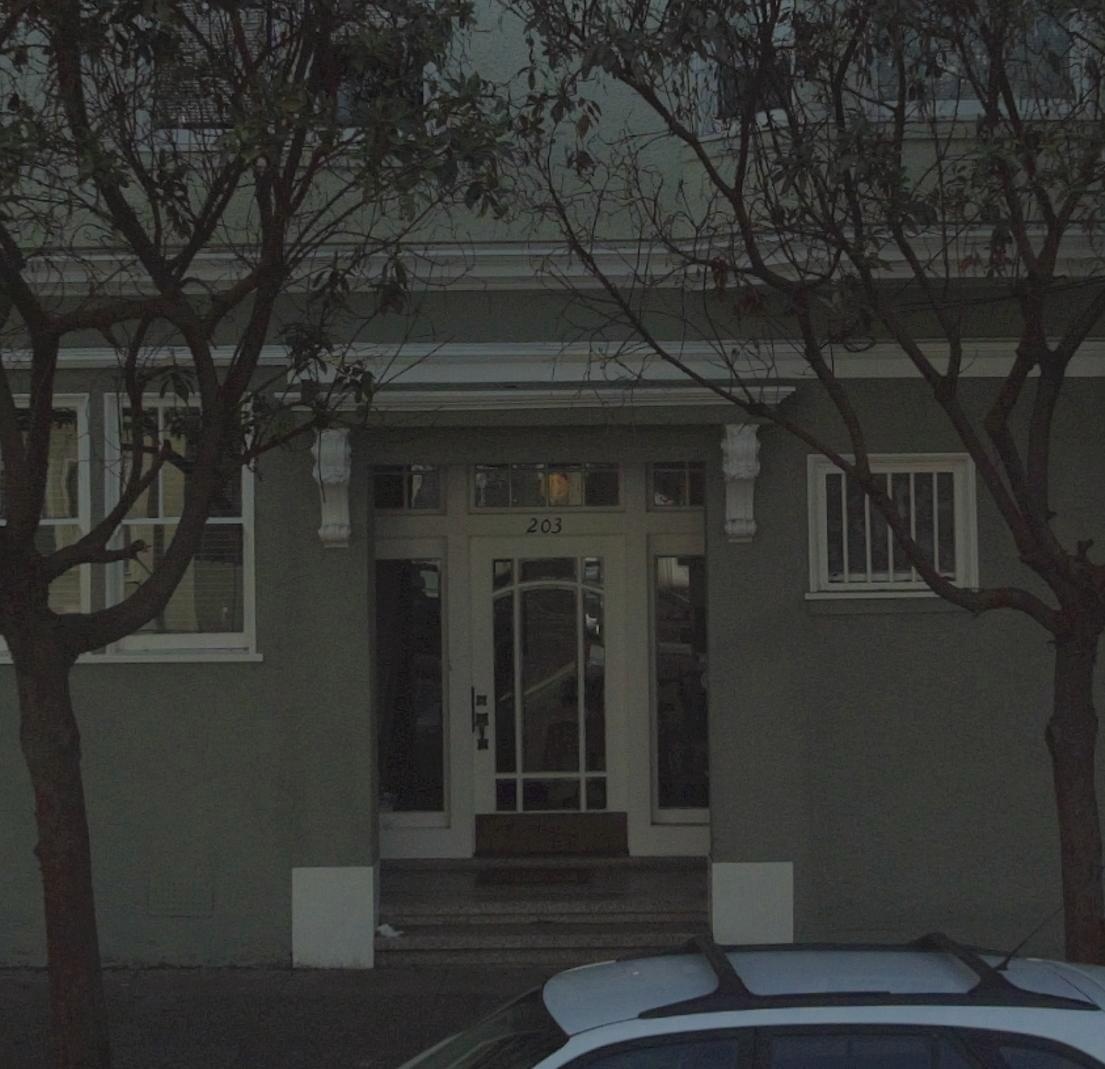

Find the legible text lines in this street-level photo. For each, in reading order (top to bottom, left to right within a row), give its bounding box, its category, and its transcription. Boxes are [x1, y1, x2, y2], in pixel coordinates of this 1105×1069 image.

[524, 516, 564, 535] StreetNumber: 203